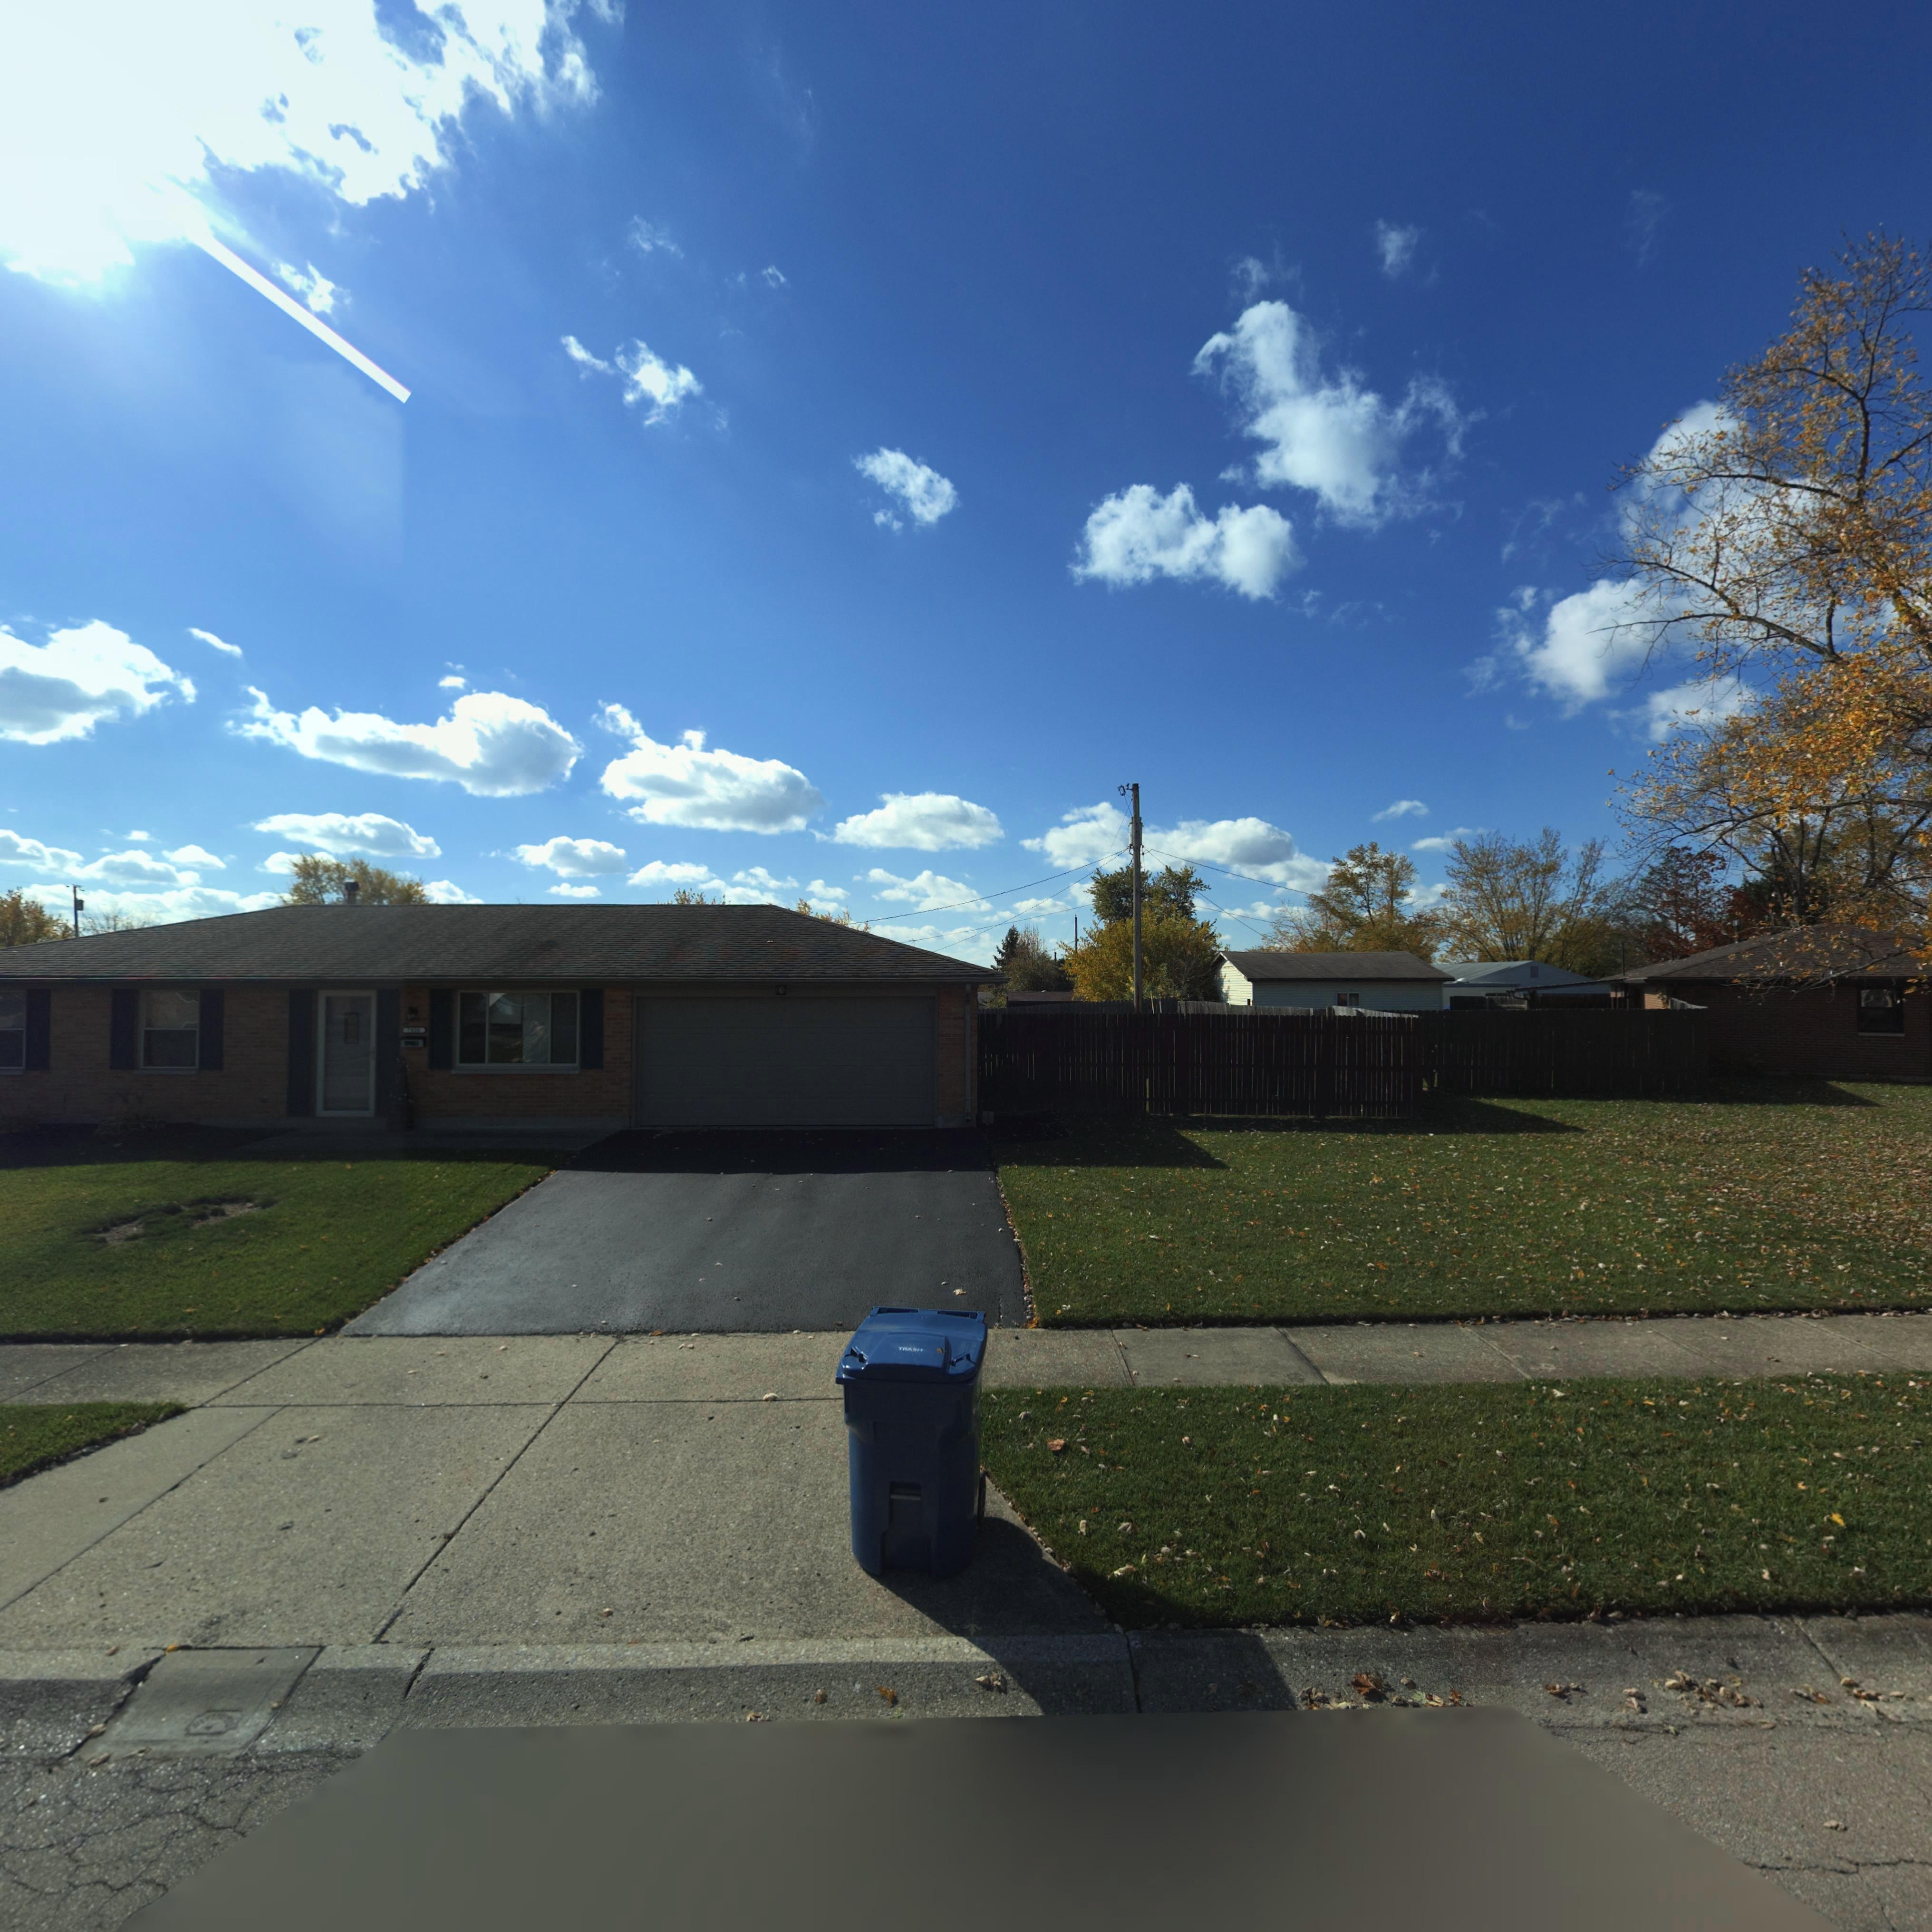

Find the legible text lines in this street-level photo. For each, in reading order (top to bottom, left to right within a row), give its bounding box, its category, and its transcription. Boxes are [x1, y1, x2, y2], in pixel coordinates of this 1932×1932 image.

[406, 1027, 421, 1033] StreetNumber: 782*